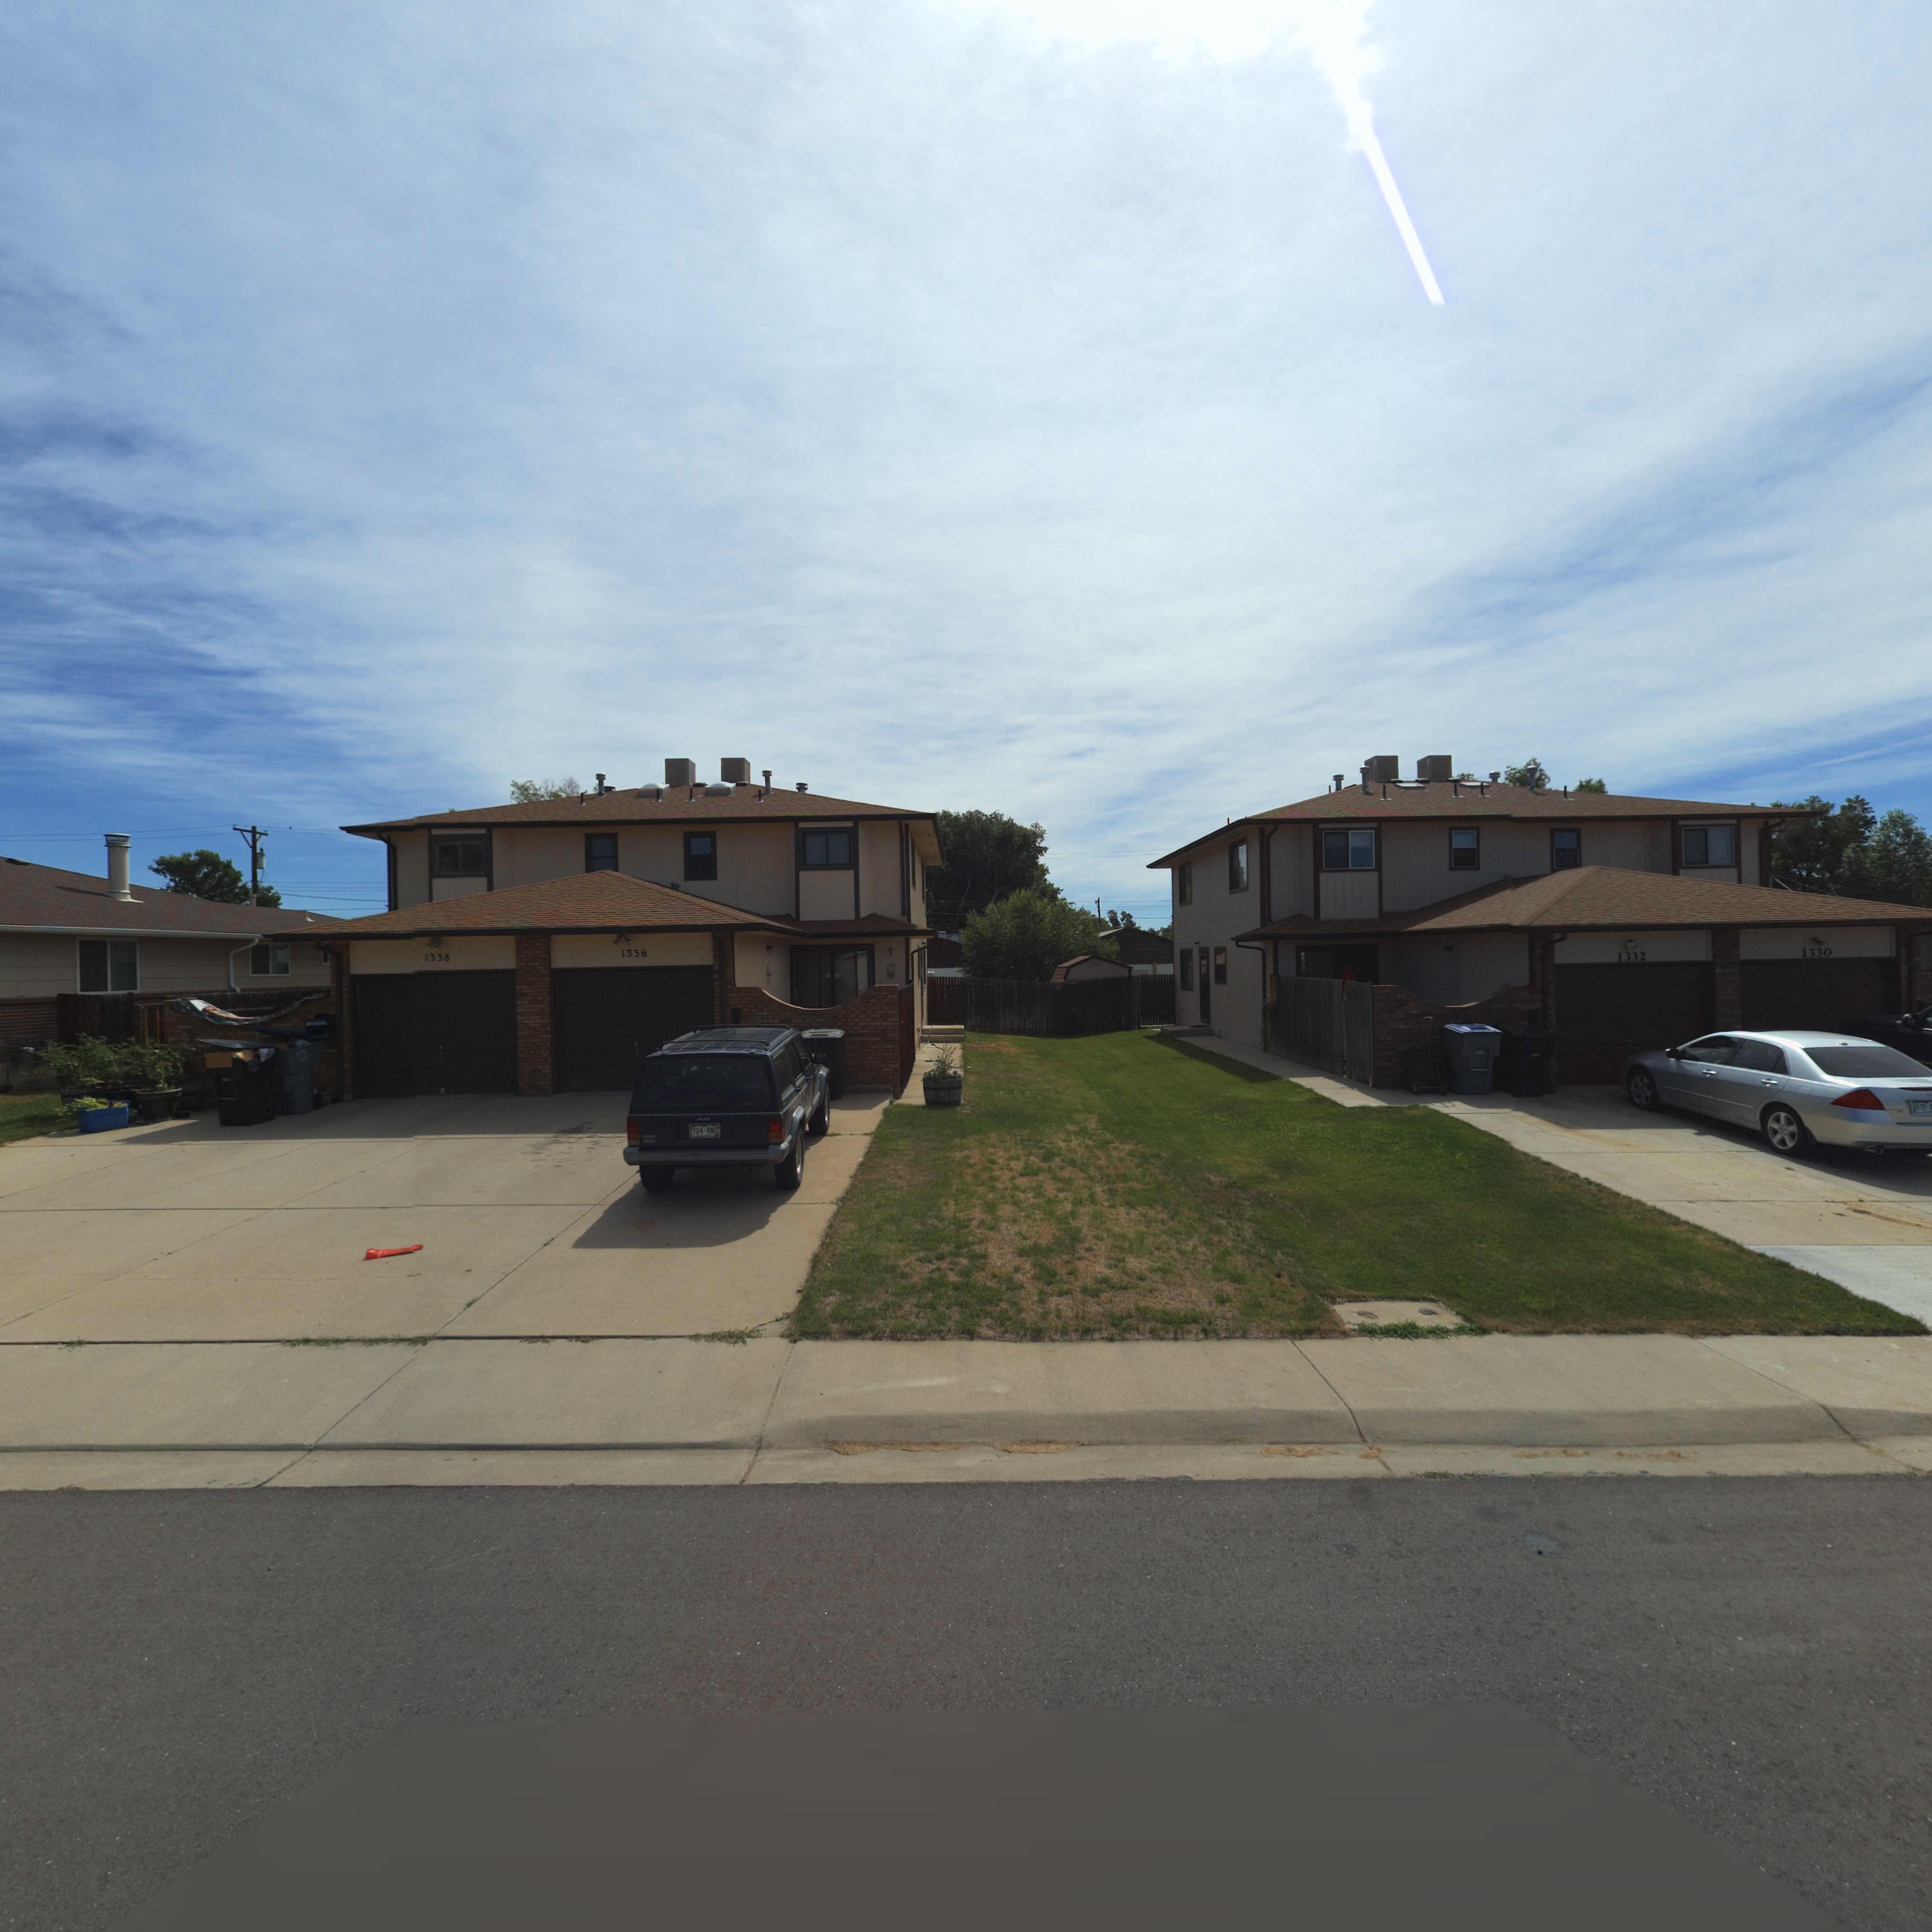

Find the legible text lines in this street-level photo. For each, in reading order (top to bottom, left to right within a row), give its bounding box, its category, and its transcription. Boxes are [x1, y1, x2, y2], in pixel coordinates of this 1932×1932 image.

[425, 953, 450, 962] StreetNumber: 1338
[622, 948, 647, 958] StreetNumber: 1336
[1617, 951, 1646, 961] StreetNumber: 1332
[1801, 947, 1833, 957] StreetNumber: 1330